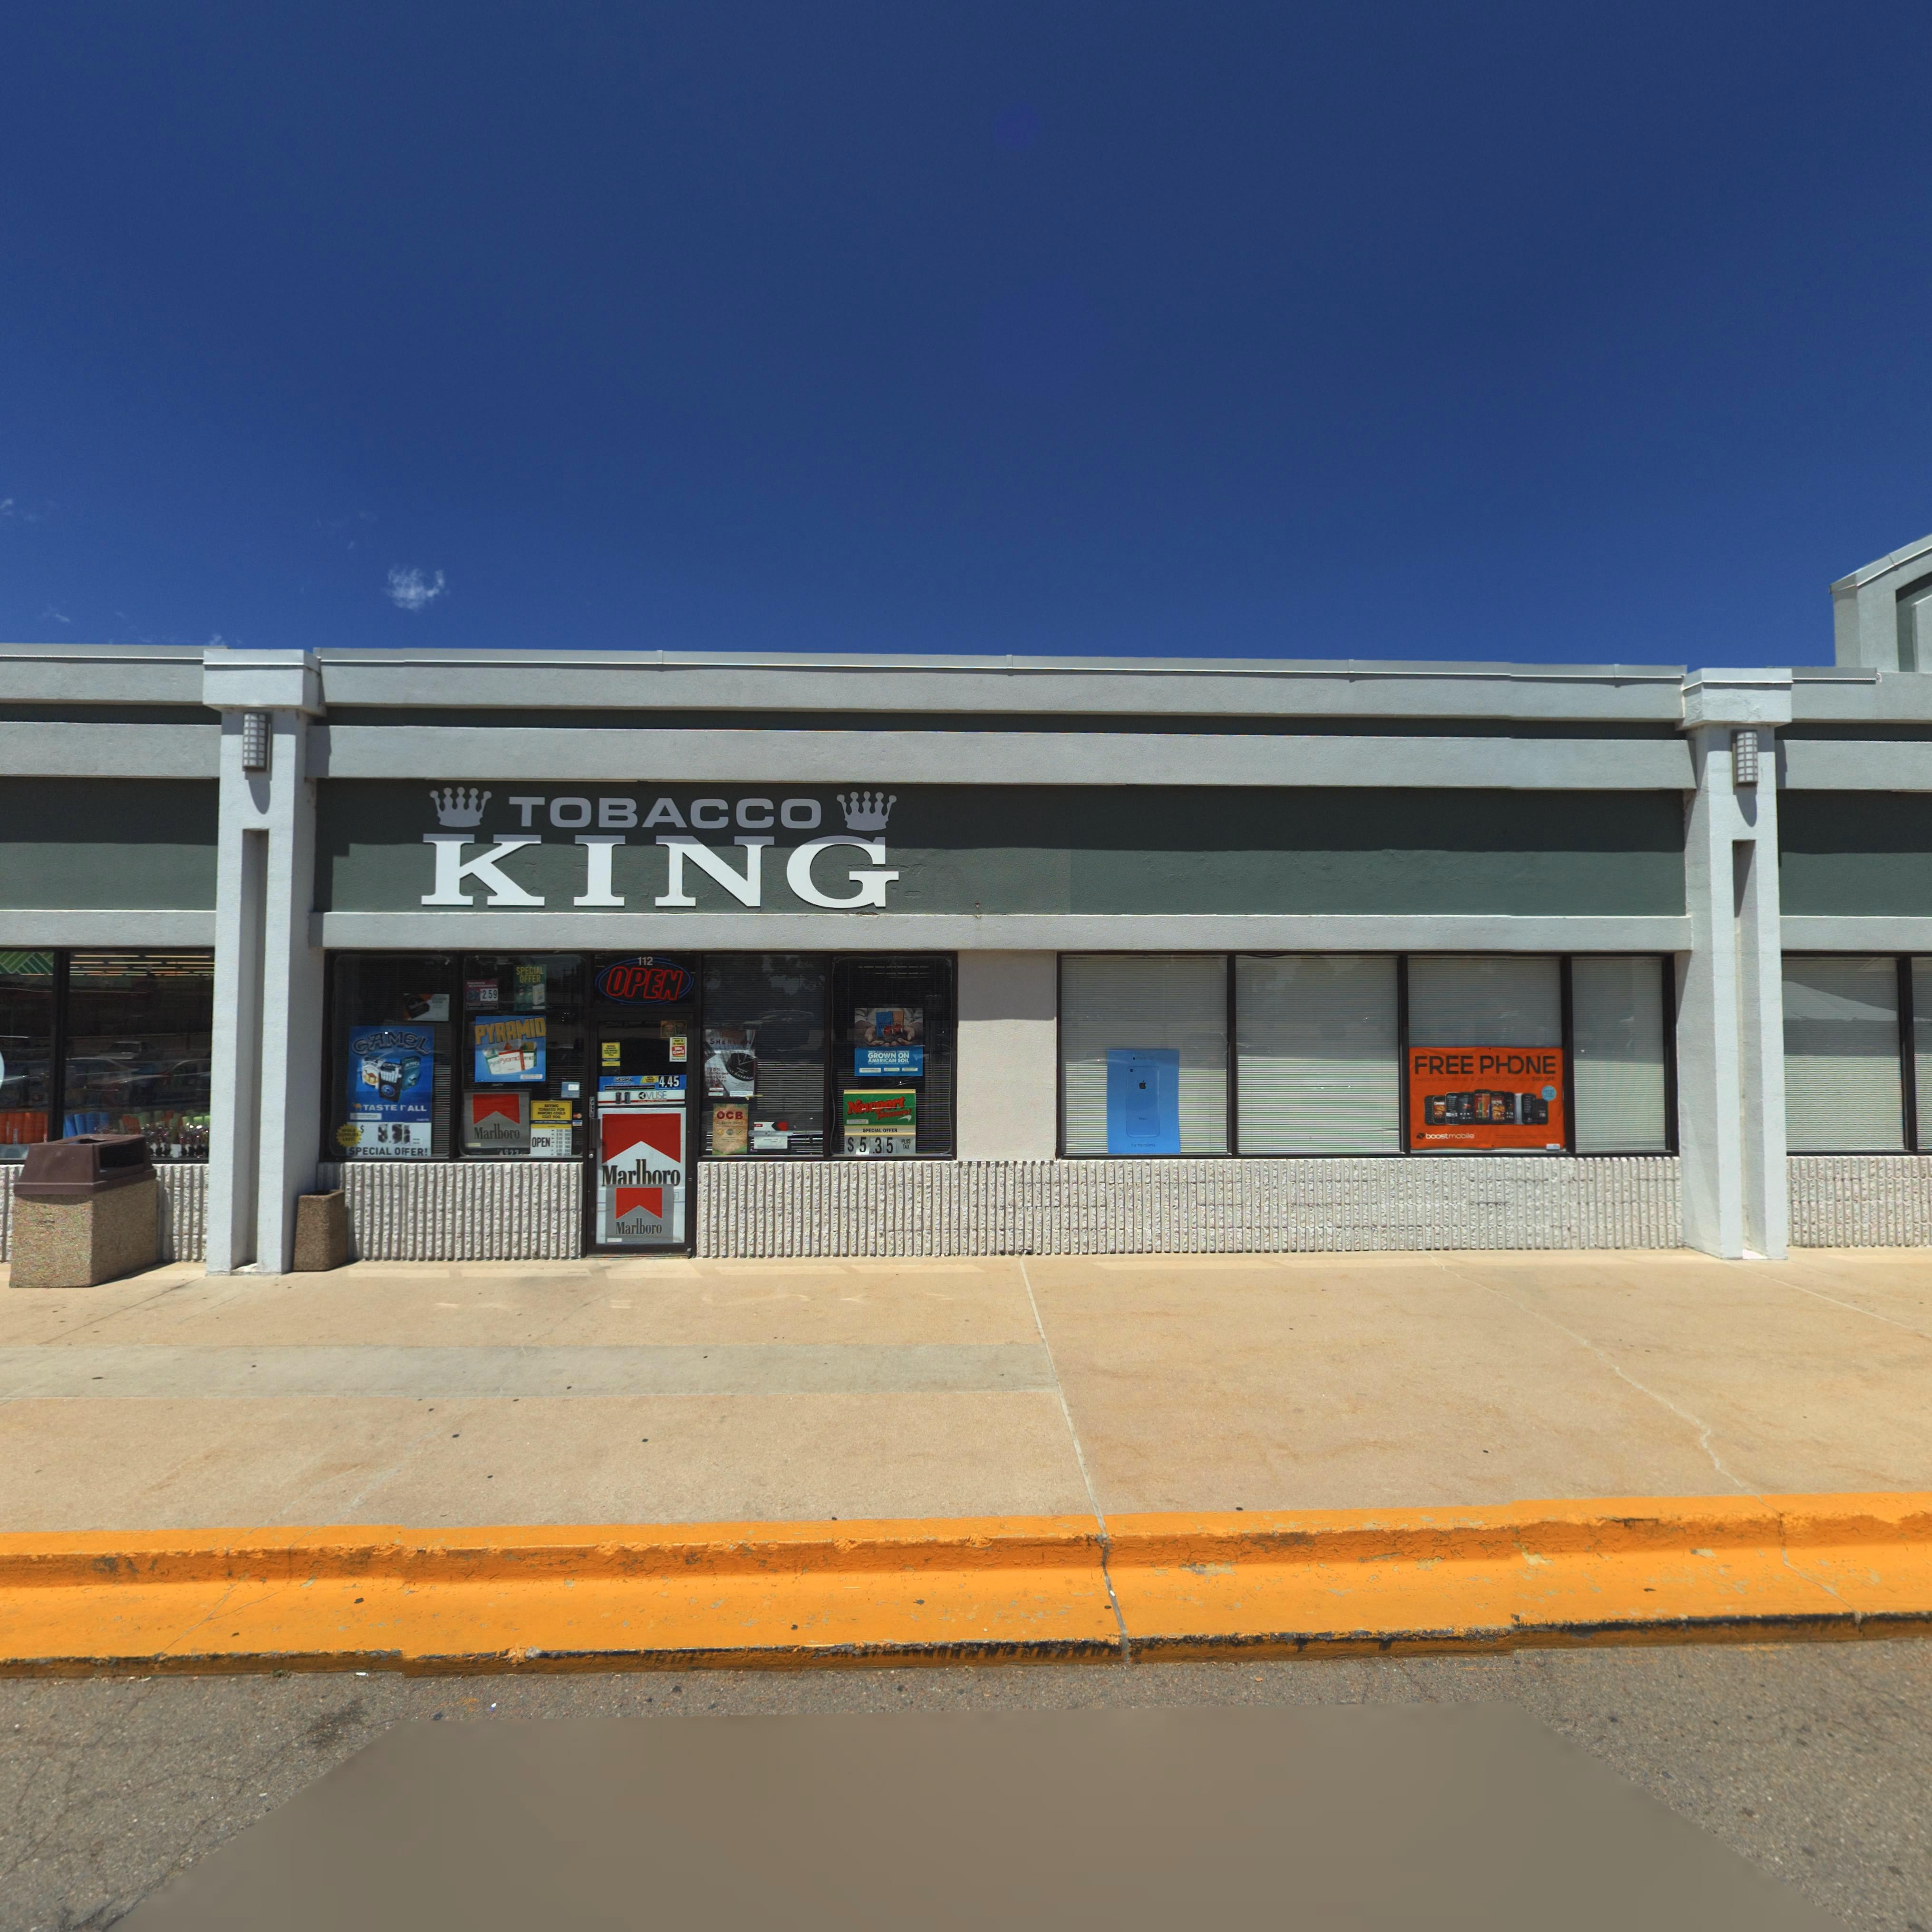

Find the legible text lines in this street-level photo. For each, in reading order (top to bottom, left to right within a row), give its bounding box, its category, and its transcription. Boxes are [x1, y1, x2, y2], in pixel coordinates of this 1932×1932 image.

[508, 795, 821, 829] BusinessName: TOBACCO
[421, 831, 900, 908] BusinessName: KING
[637, 956, 653, 965] StreetNumber: 112
[1425, 1132, 1475, 1139] BusinessName: boost mobile